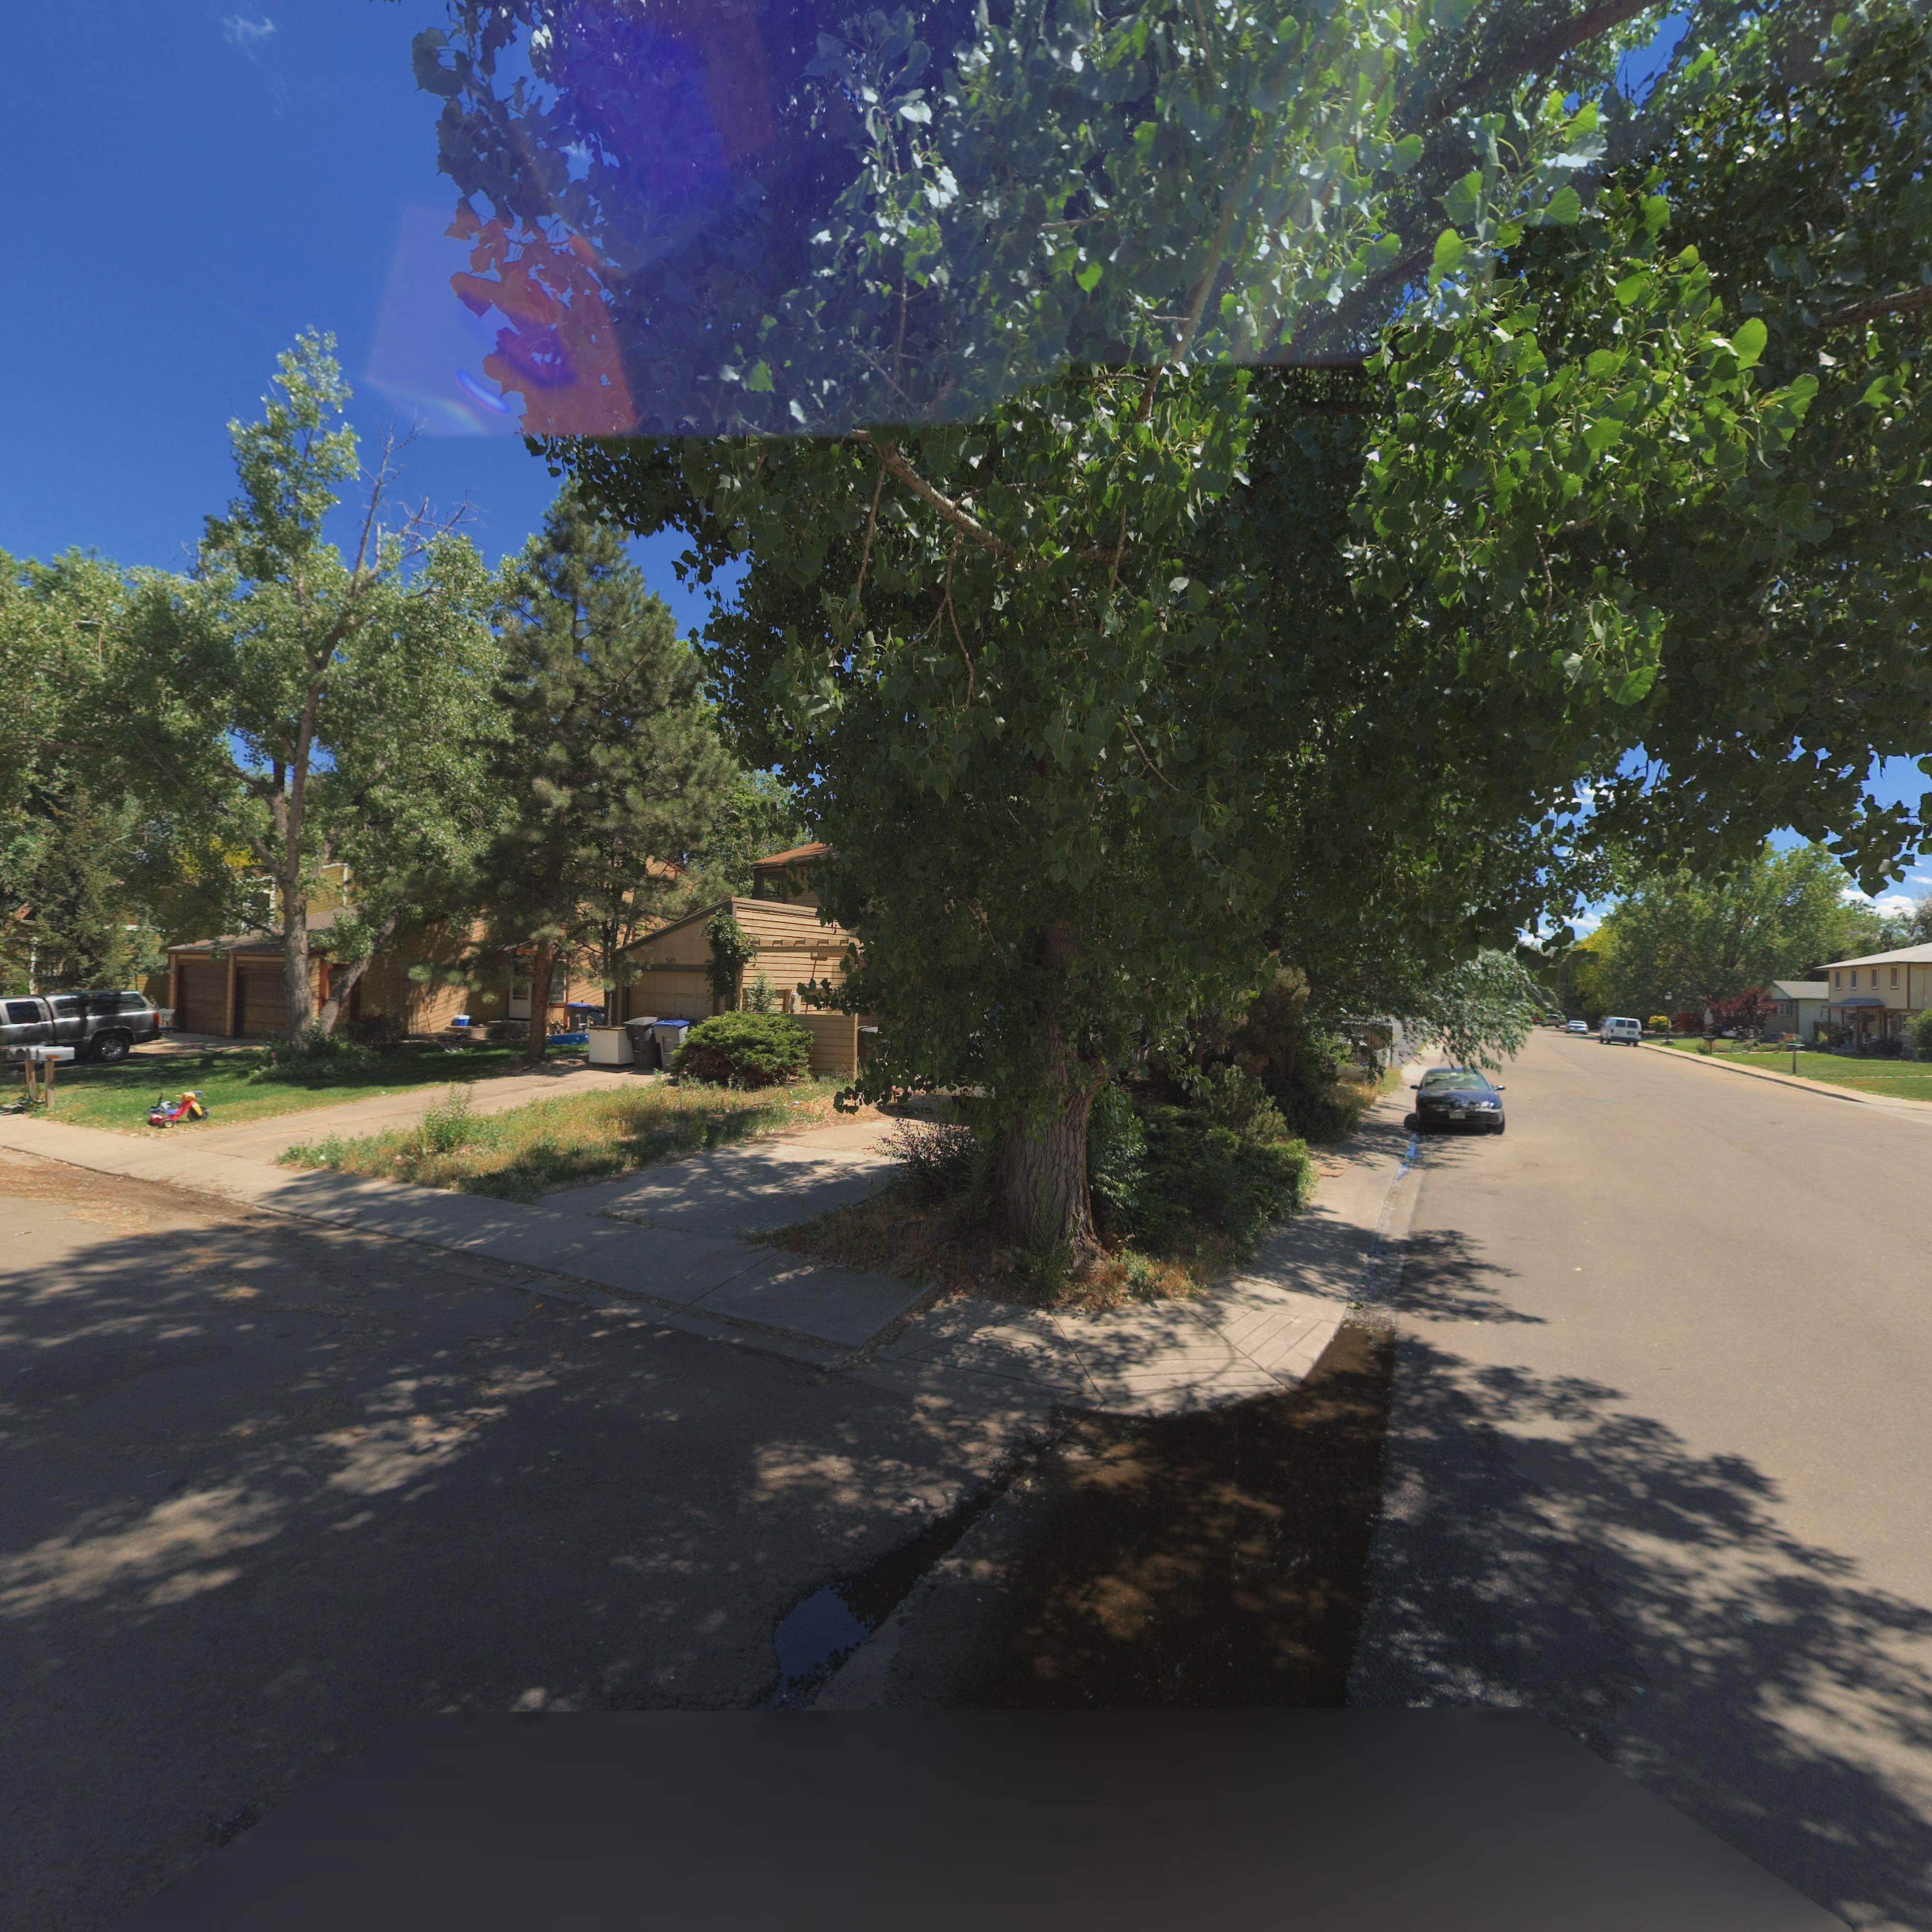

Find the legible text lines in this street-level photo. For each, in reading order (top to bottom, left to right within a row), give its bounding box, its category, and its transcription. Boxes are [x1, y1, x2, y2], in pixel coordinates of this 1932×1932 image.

[665, 957, 676, 964] StreetNumber: 345